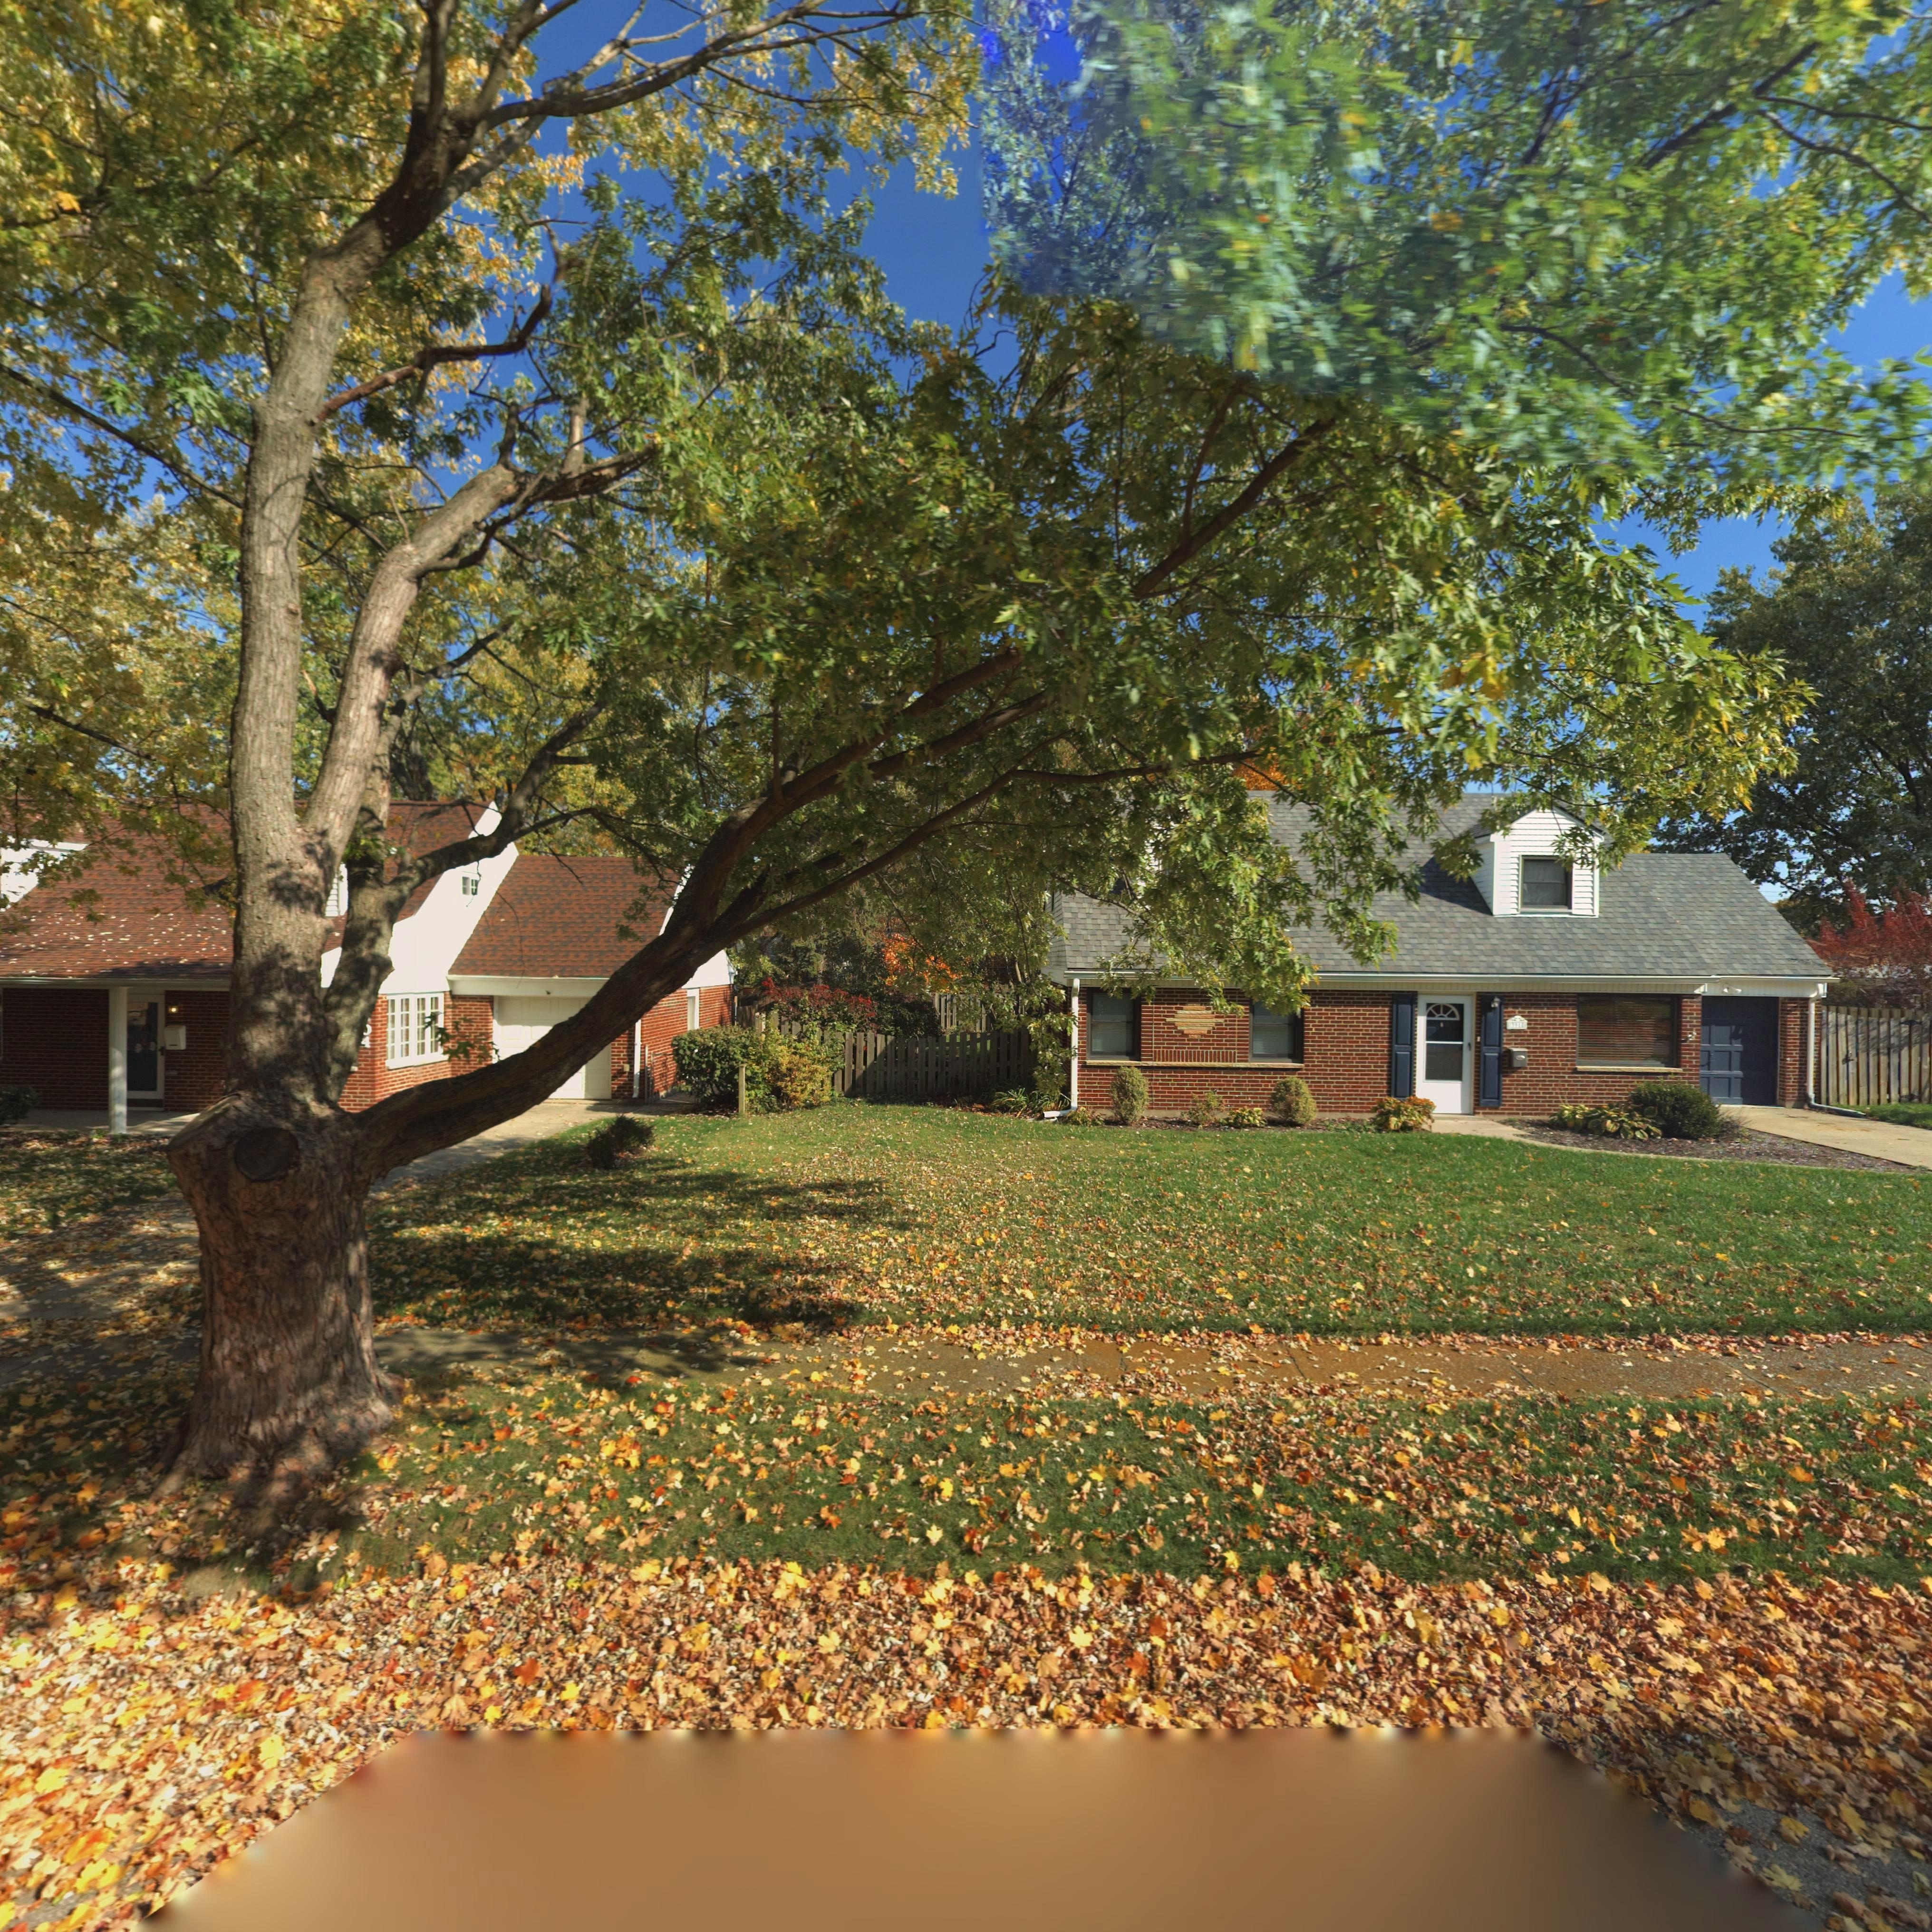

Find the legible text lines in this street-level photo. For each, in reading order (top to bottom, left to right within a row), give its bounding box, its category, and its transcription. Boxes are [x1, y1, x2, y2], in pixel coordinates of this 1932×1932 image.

[359, 1035, 371, 1049] StreetNumber: 4